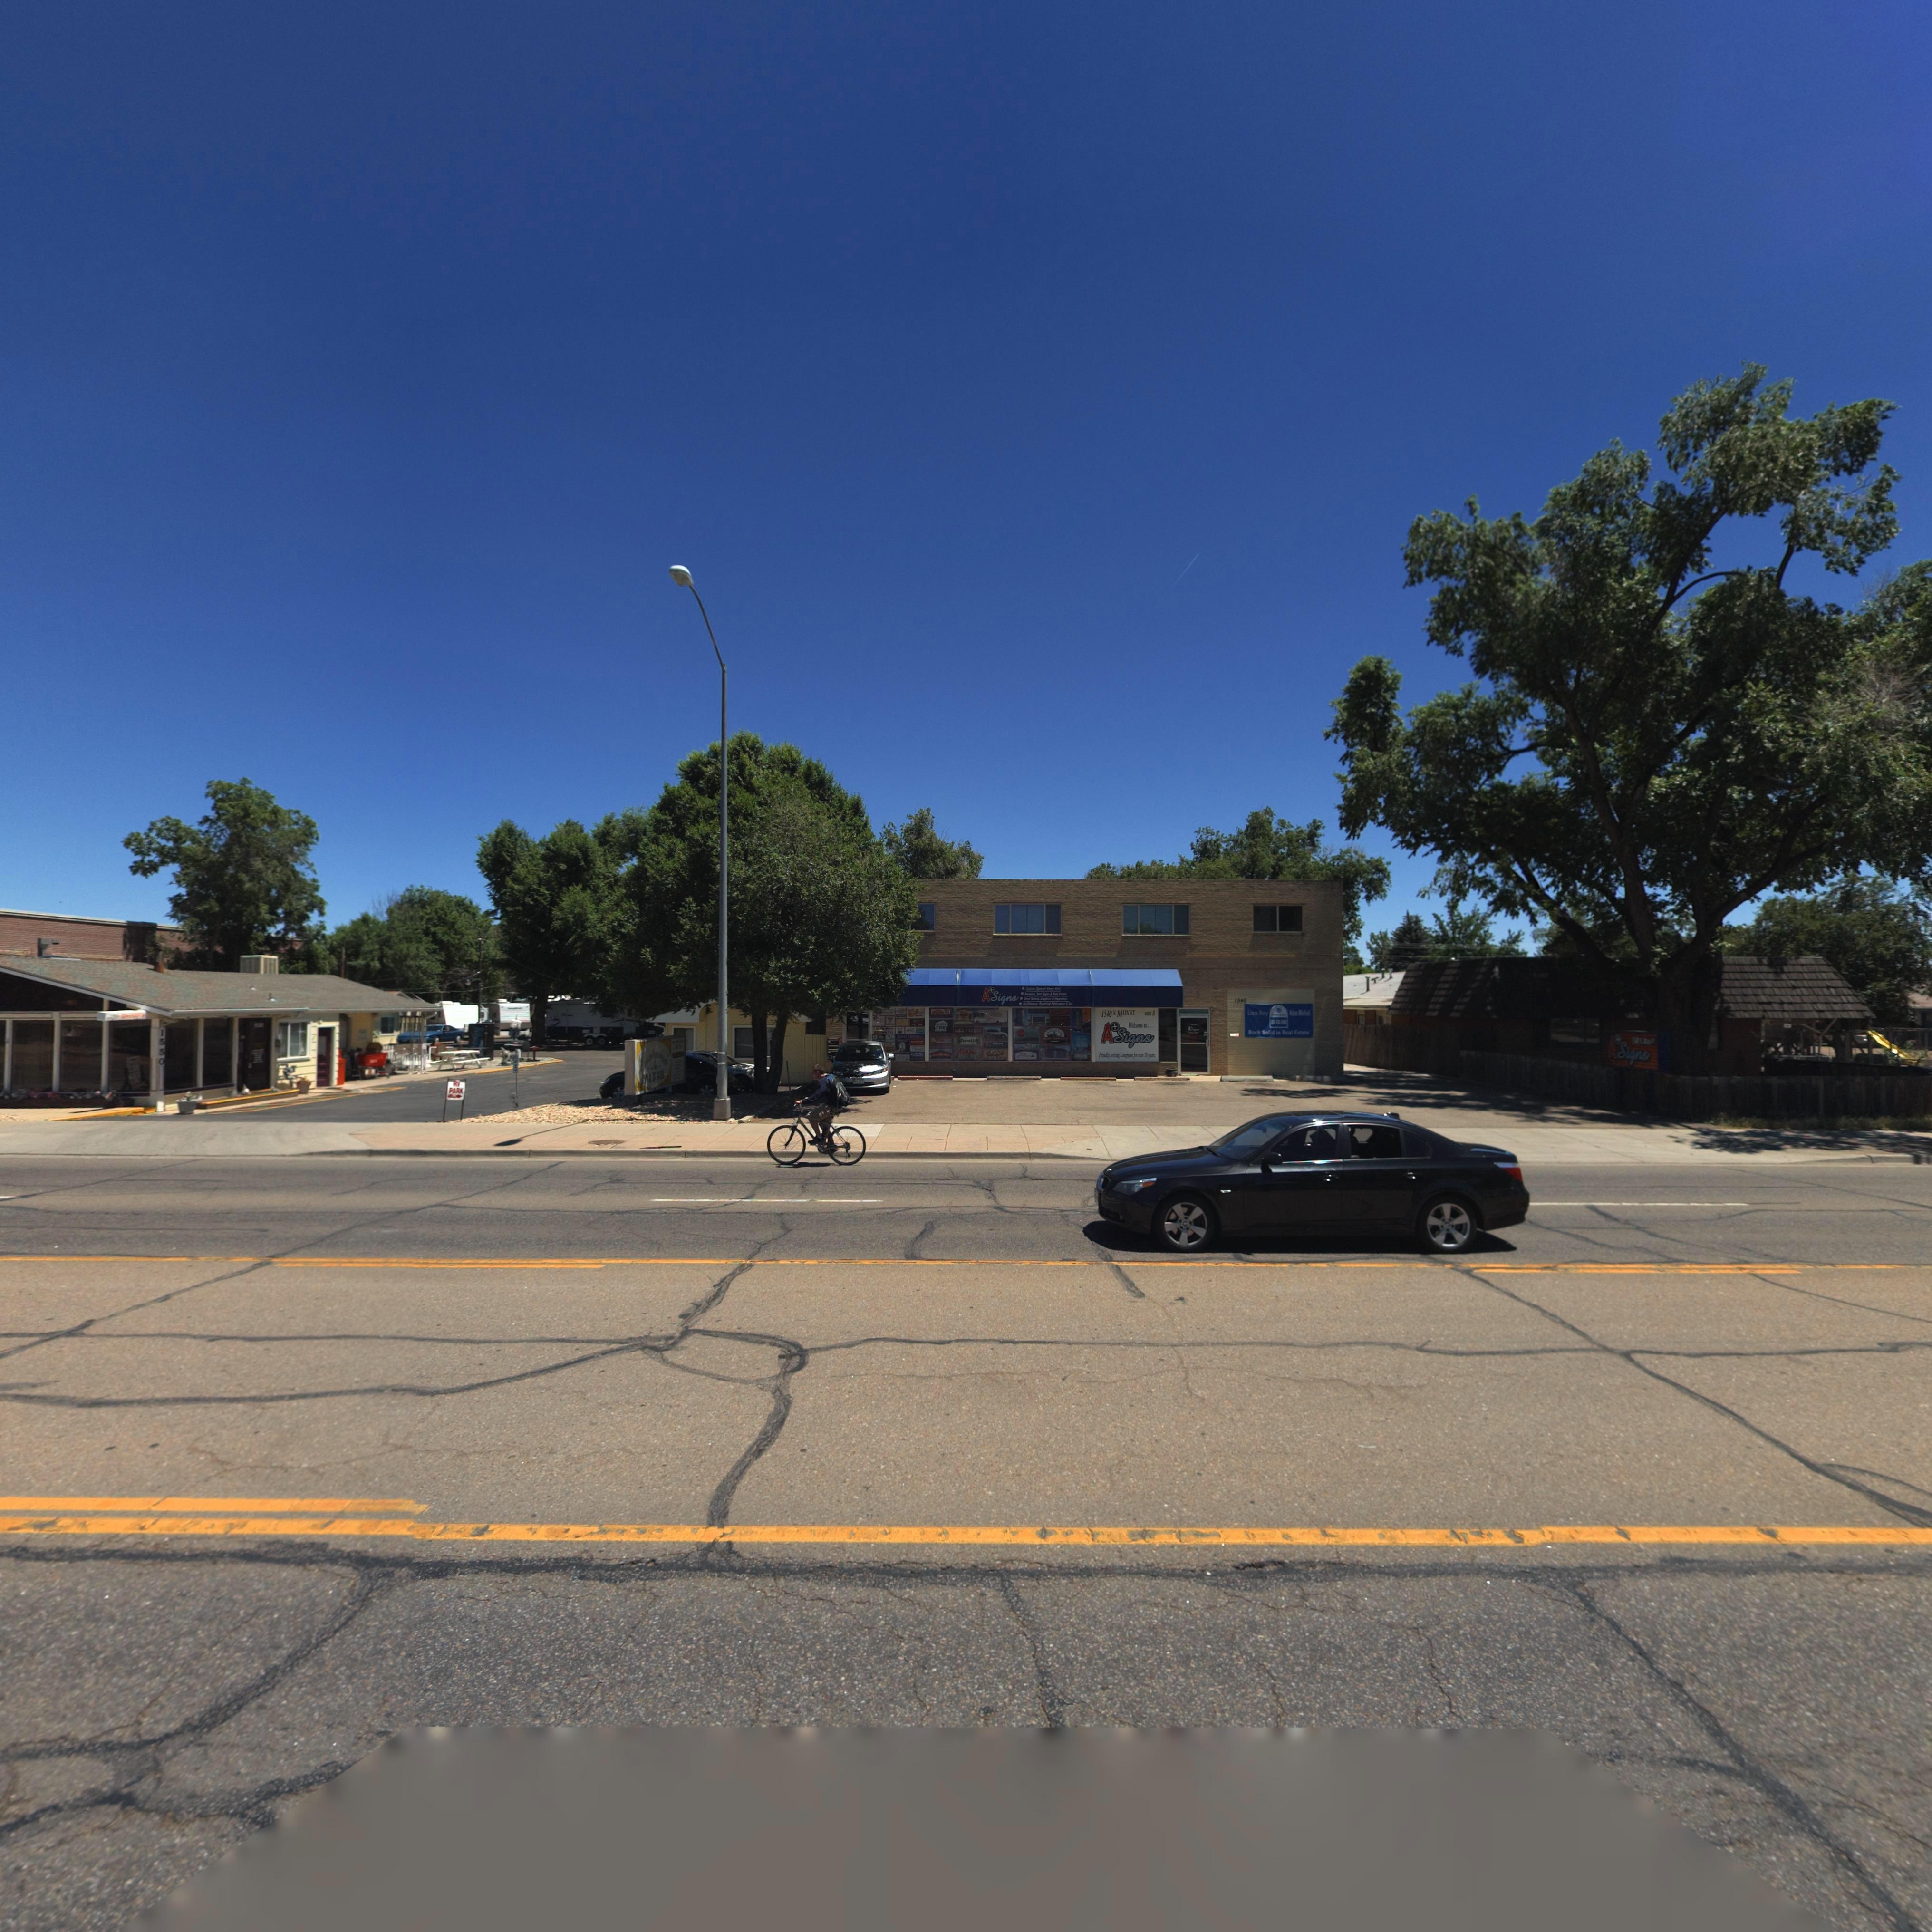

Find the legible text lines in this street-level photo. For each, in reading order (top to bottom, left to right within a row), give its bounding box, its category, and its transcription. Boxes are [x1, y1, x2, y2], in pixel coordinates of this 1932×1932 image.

[980, 985, 1019, 1005] BusinessName: A*Signs
[1234, 997, 1246, 1002] StreetNumber: 15*0
[1101, 1009, 1112, 1018] StreetNumber: 1540
[1112, 1009, 1135, 1017] StreetName: N MAIN ST
[1144, 1009, 1155, 1016] SecondaryUnitDesignator: unit A
[1270, 1019, 1287, 1024] None: x*
[1099, 1021, 1155, 1048] BusinessName: A*Signs
[1607, 1033, 1652, 1065] BusinessName: A*Signs